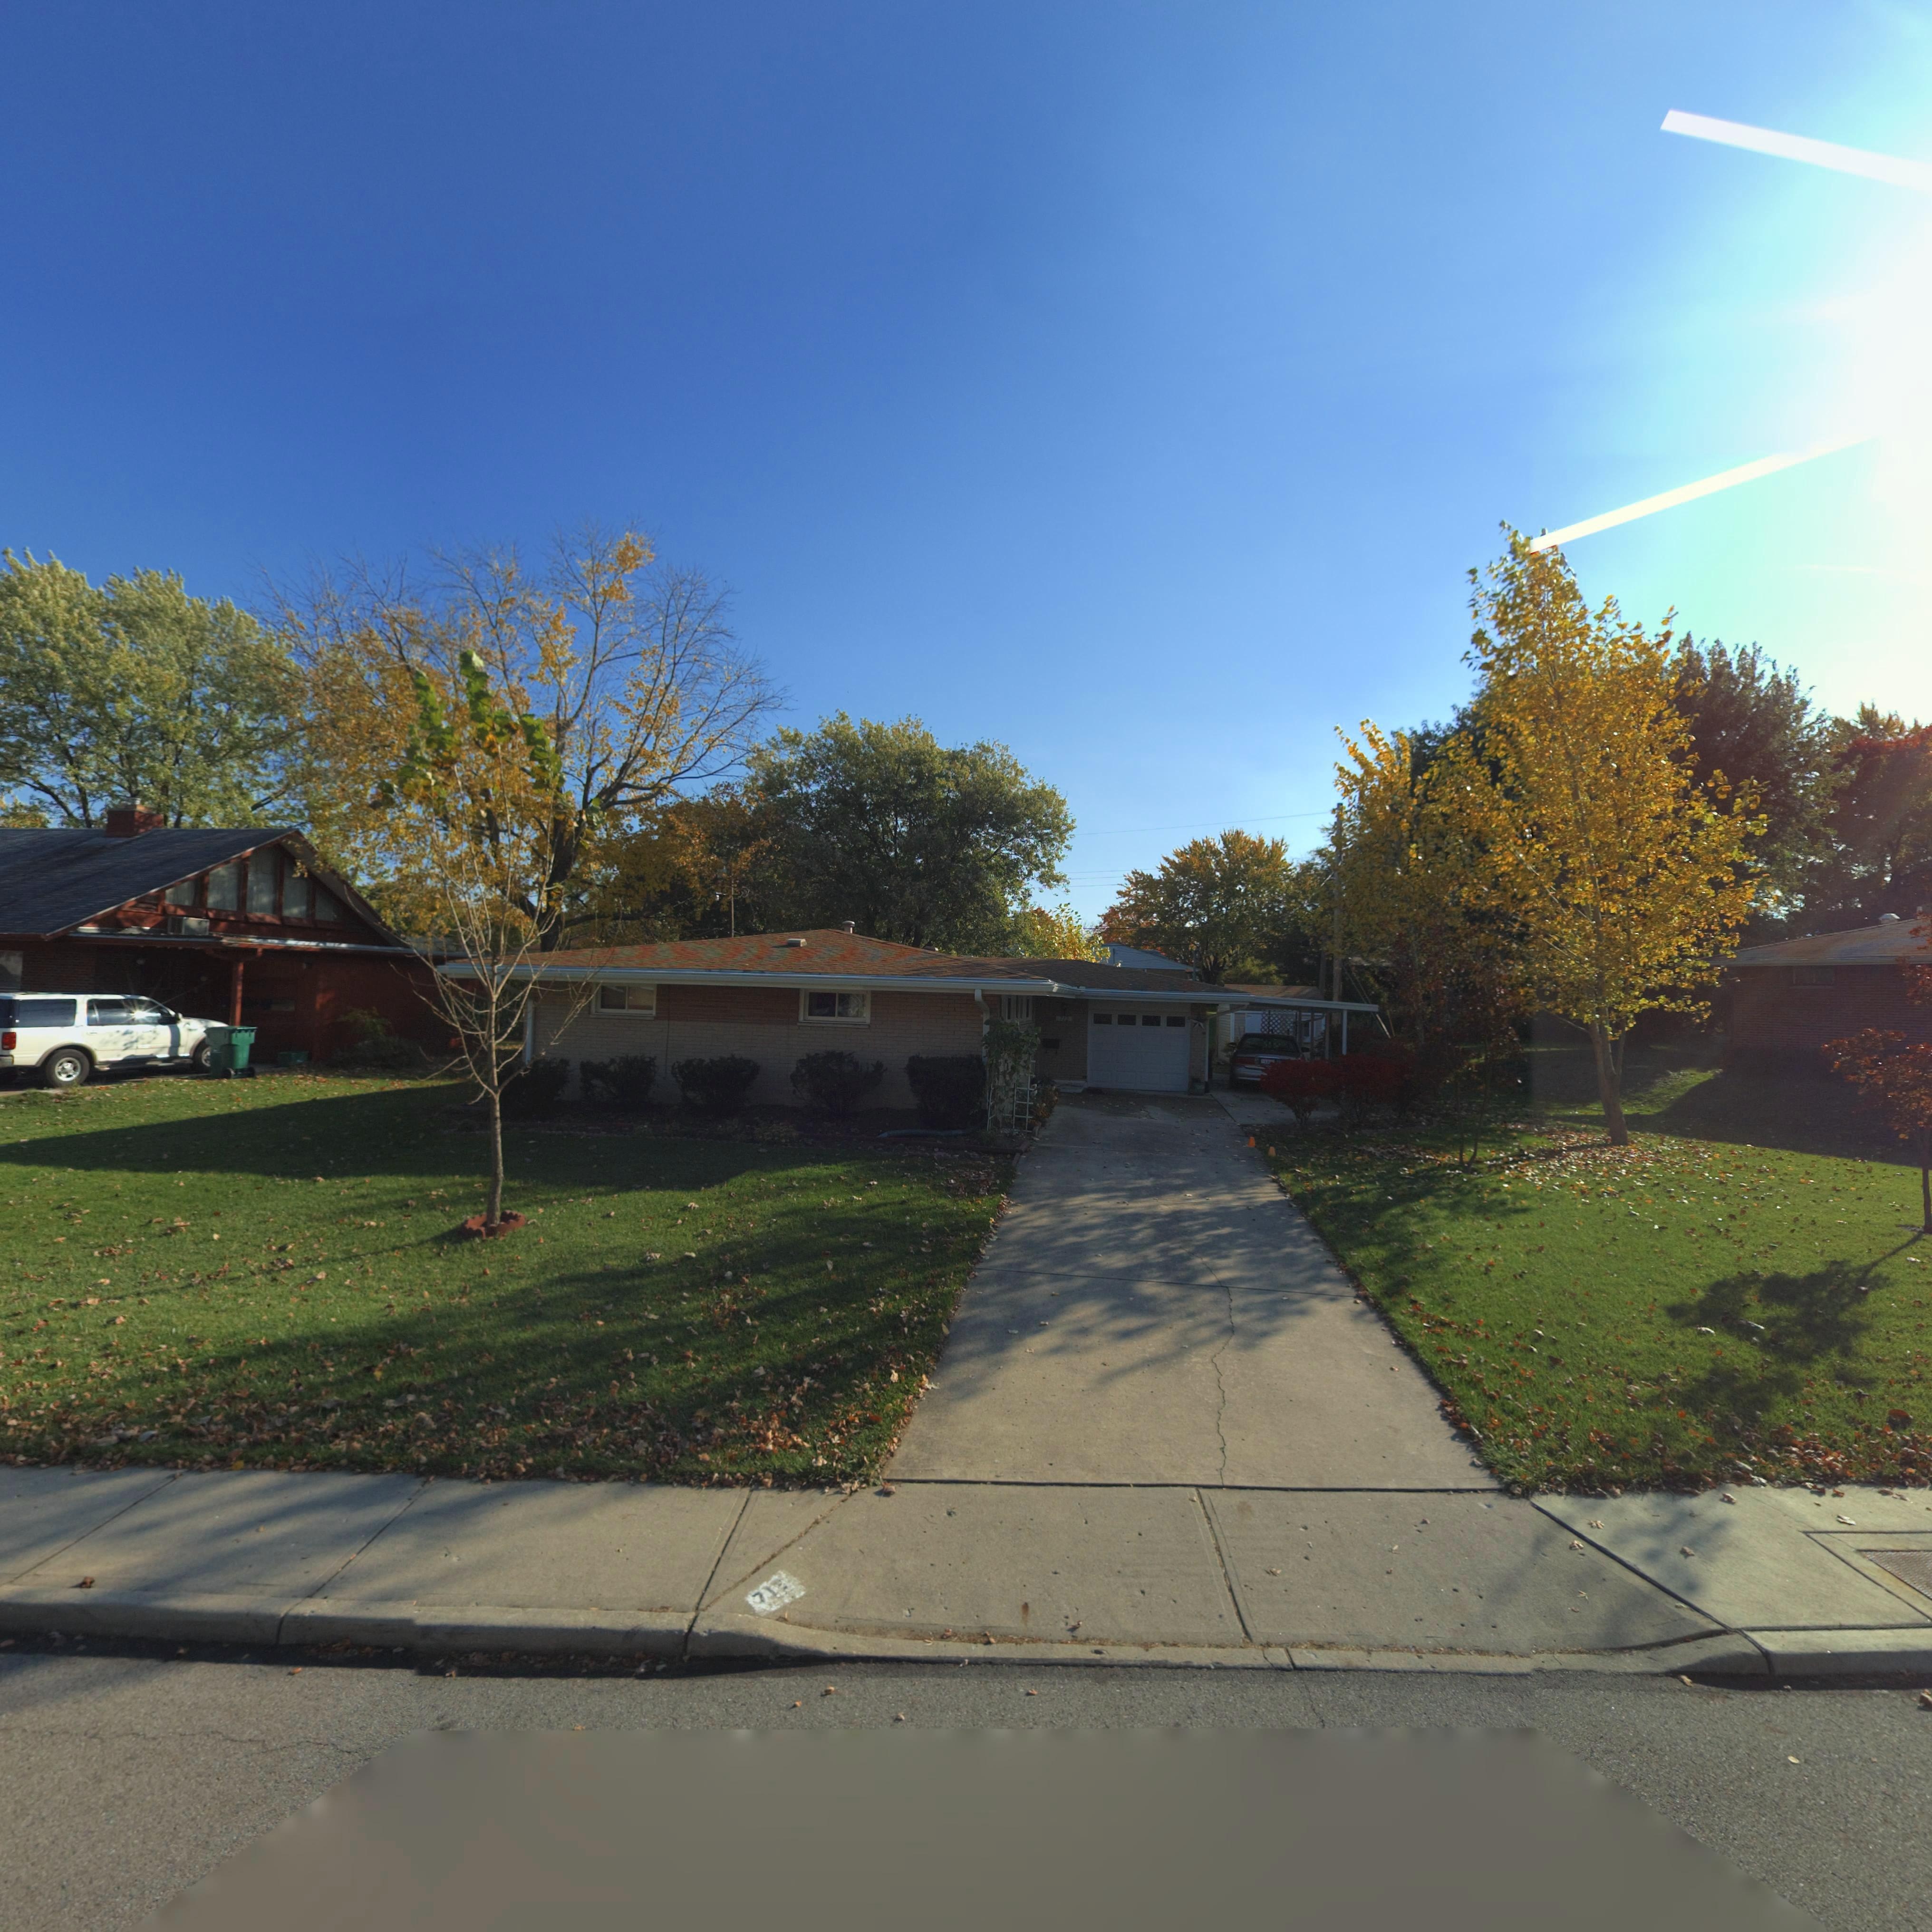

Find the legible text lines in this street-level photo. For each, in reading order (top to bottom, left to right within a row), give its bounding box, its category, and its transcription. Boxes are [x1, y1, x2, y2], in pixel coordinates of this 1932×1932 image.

[1059, 1015, 1070, 1022] StreetNumber: 712